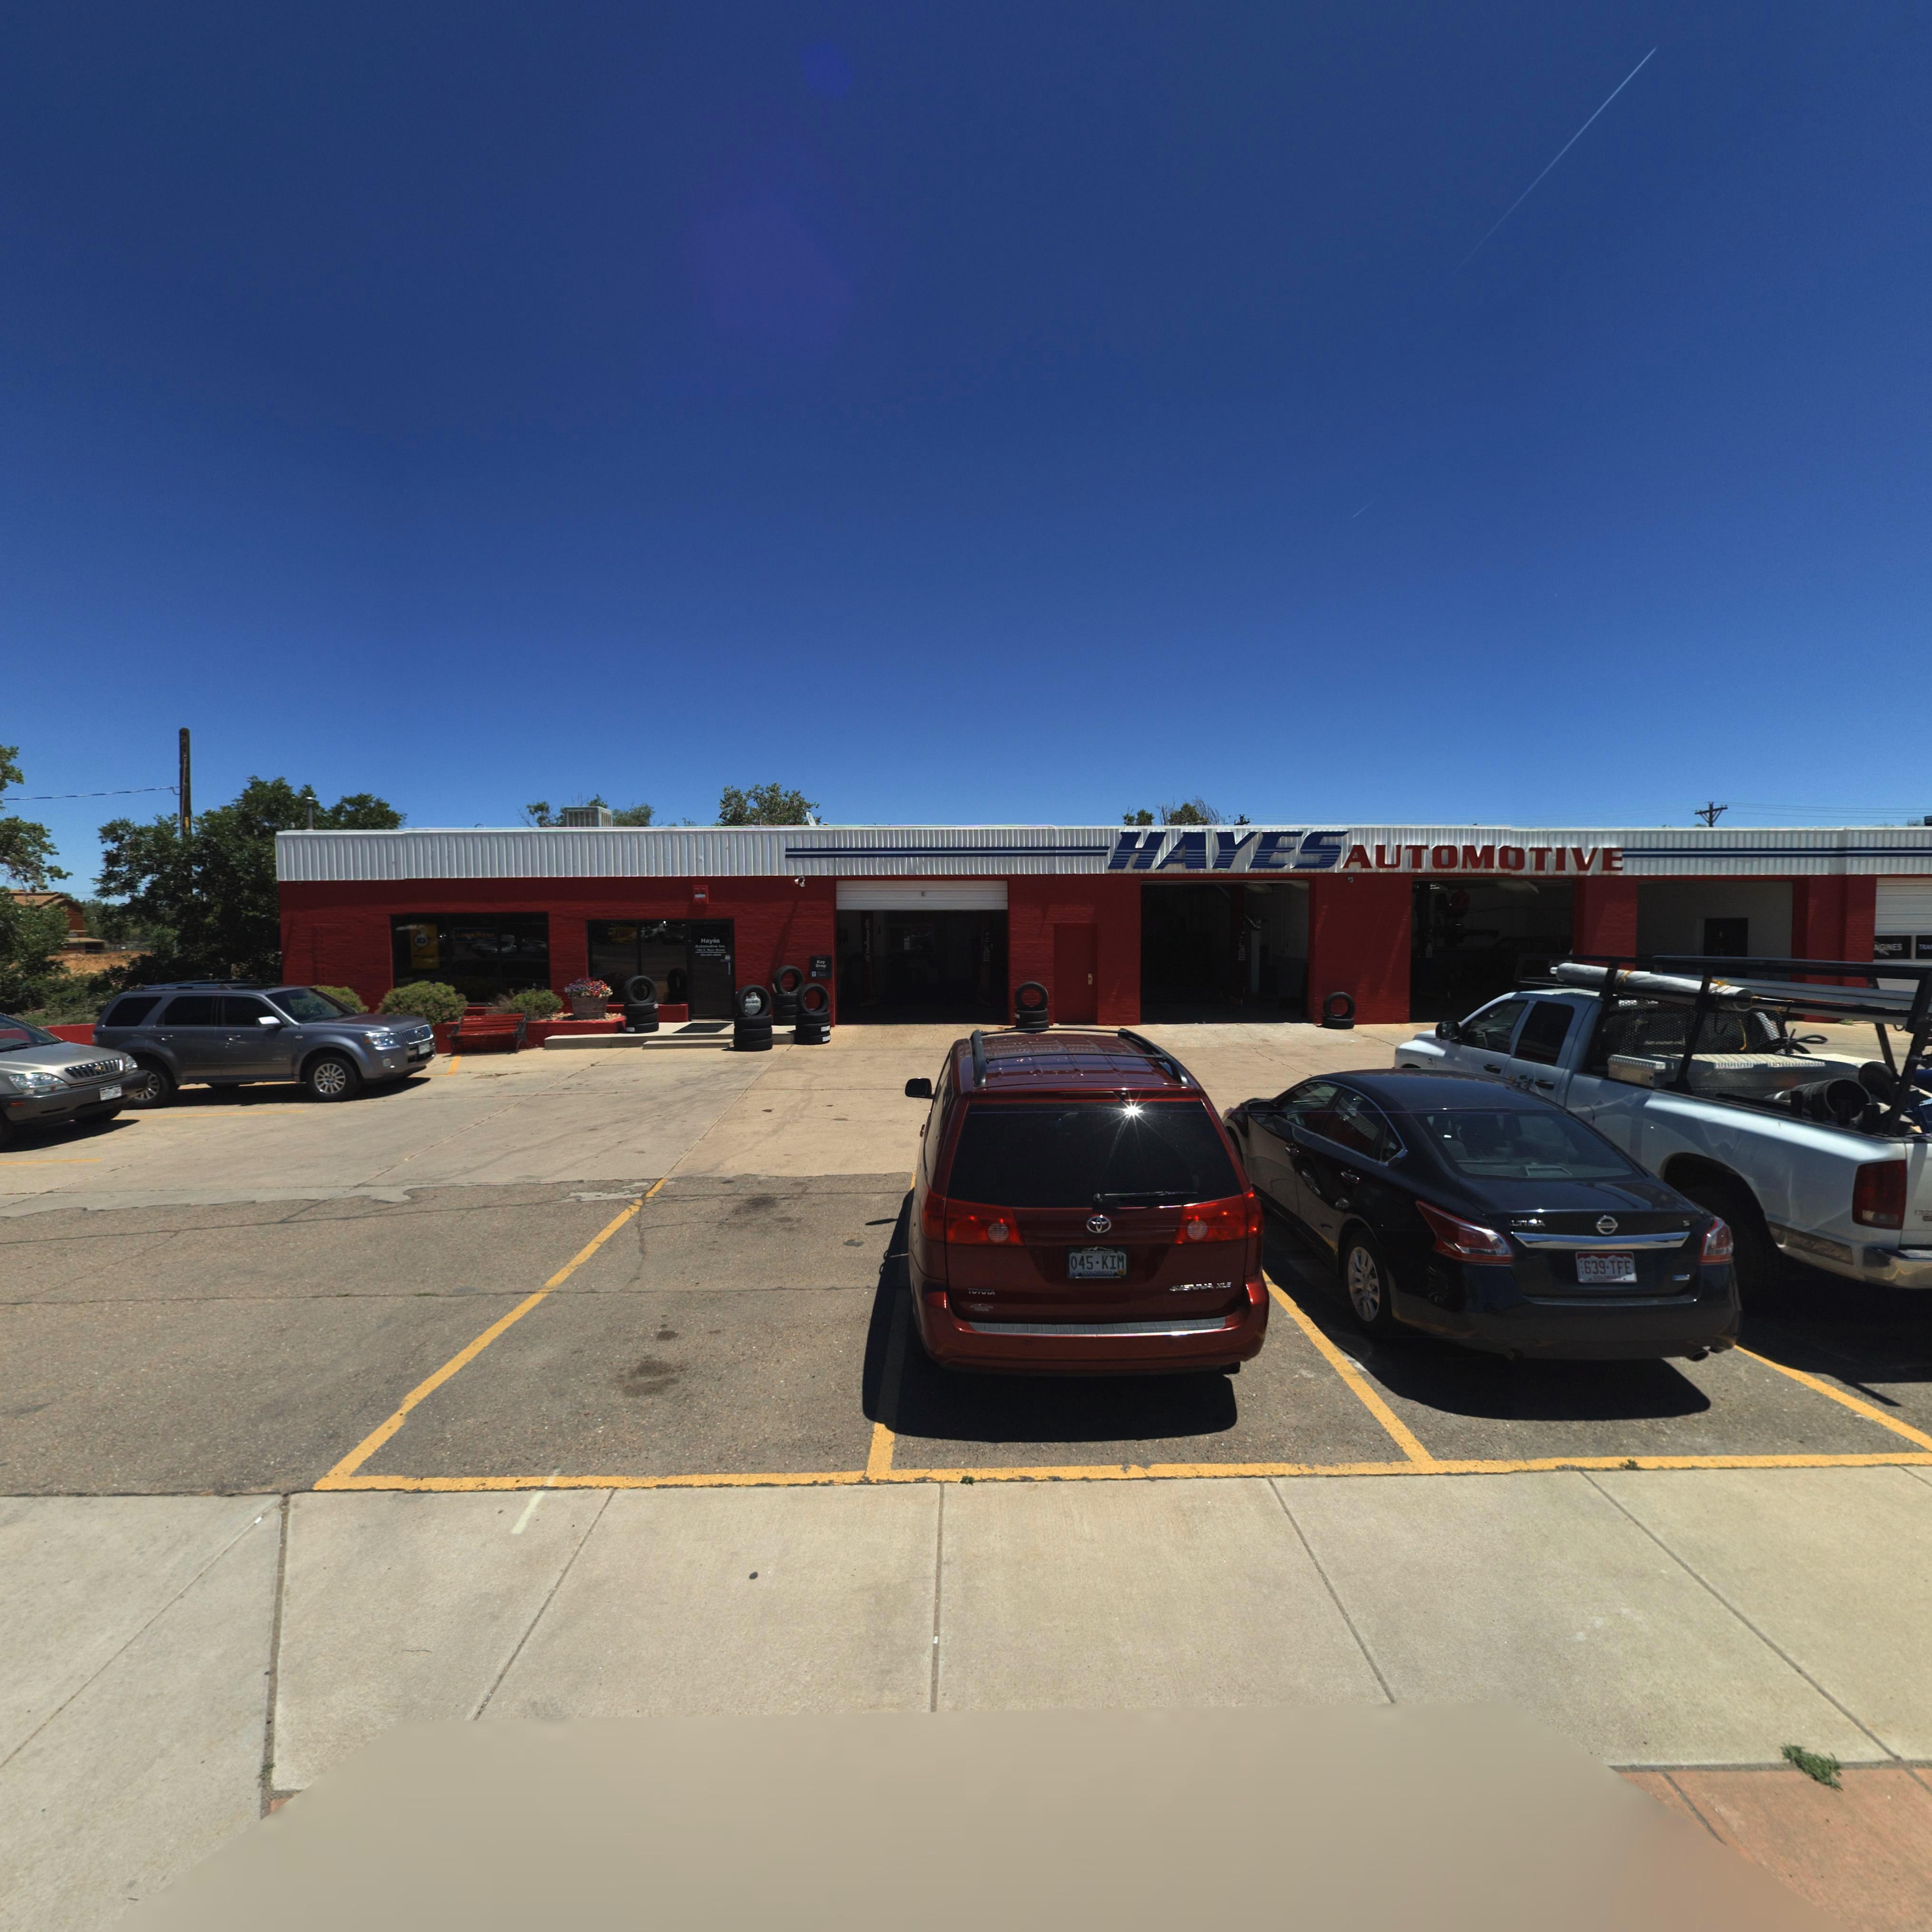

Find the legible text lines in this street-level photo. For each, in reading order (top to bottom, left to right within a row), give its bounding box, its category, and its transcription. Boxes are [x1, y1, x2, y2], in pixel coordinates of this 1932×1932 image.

[1107, 830, 1624, 871] BusinessName: HAYES AUTOMOTIVE
[701, 938, 720, 944] None: Hayes
[695, 945, 726, 947] BusinessName: A*tom*tive Inc